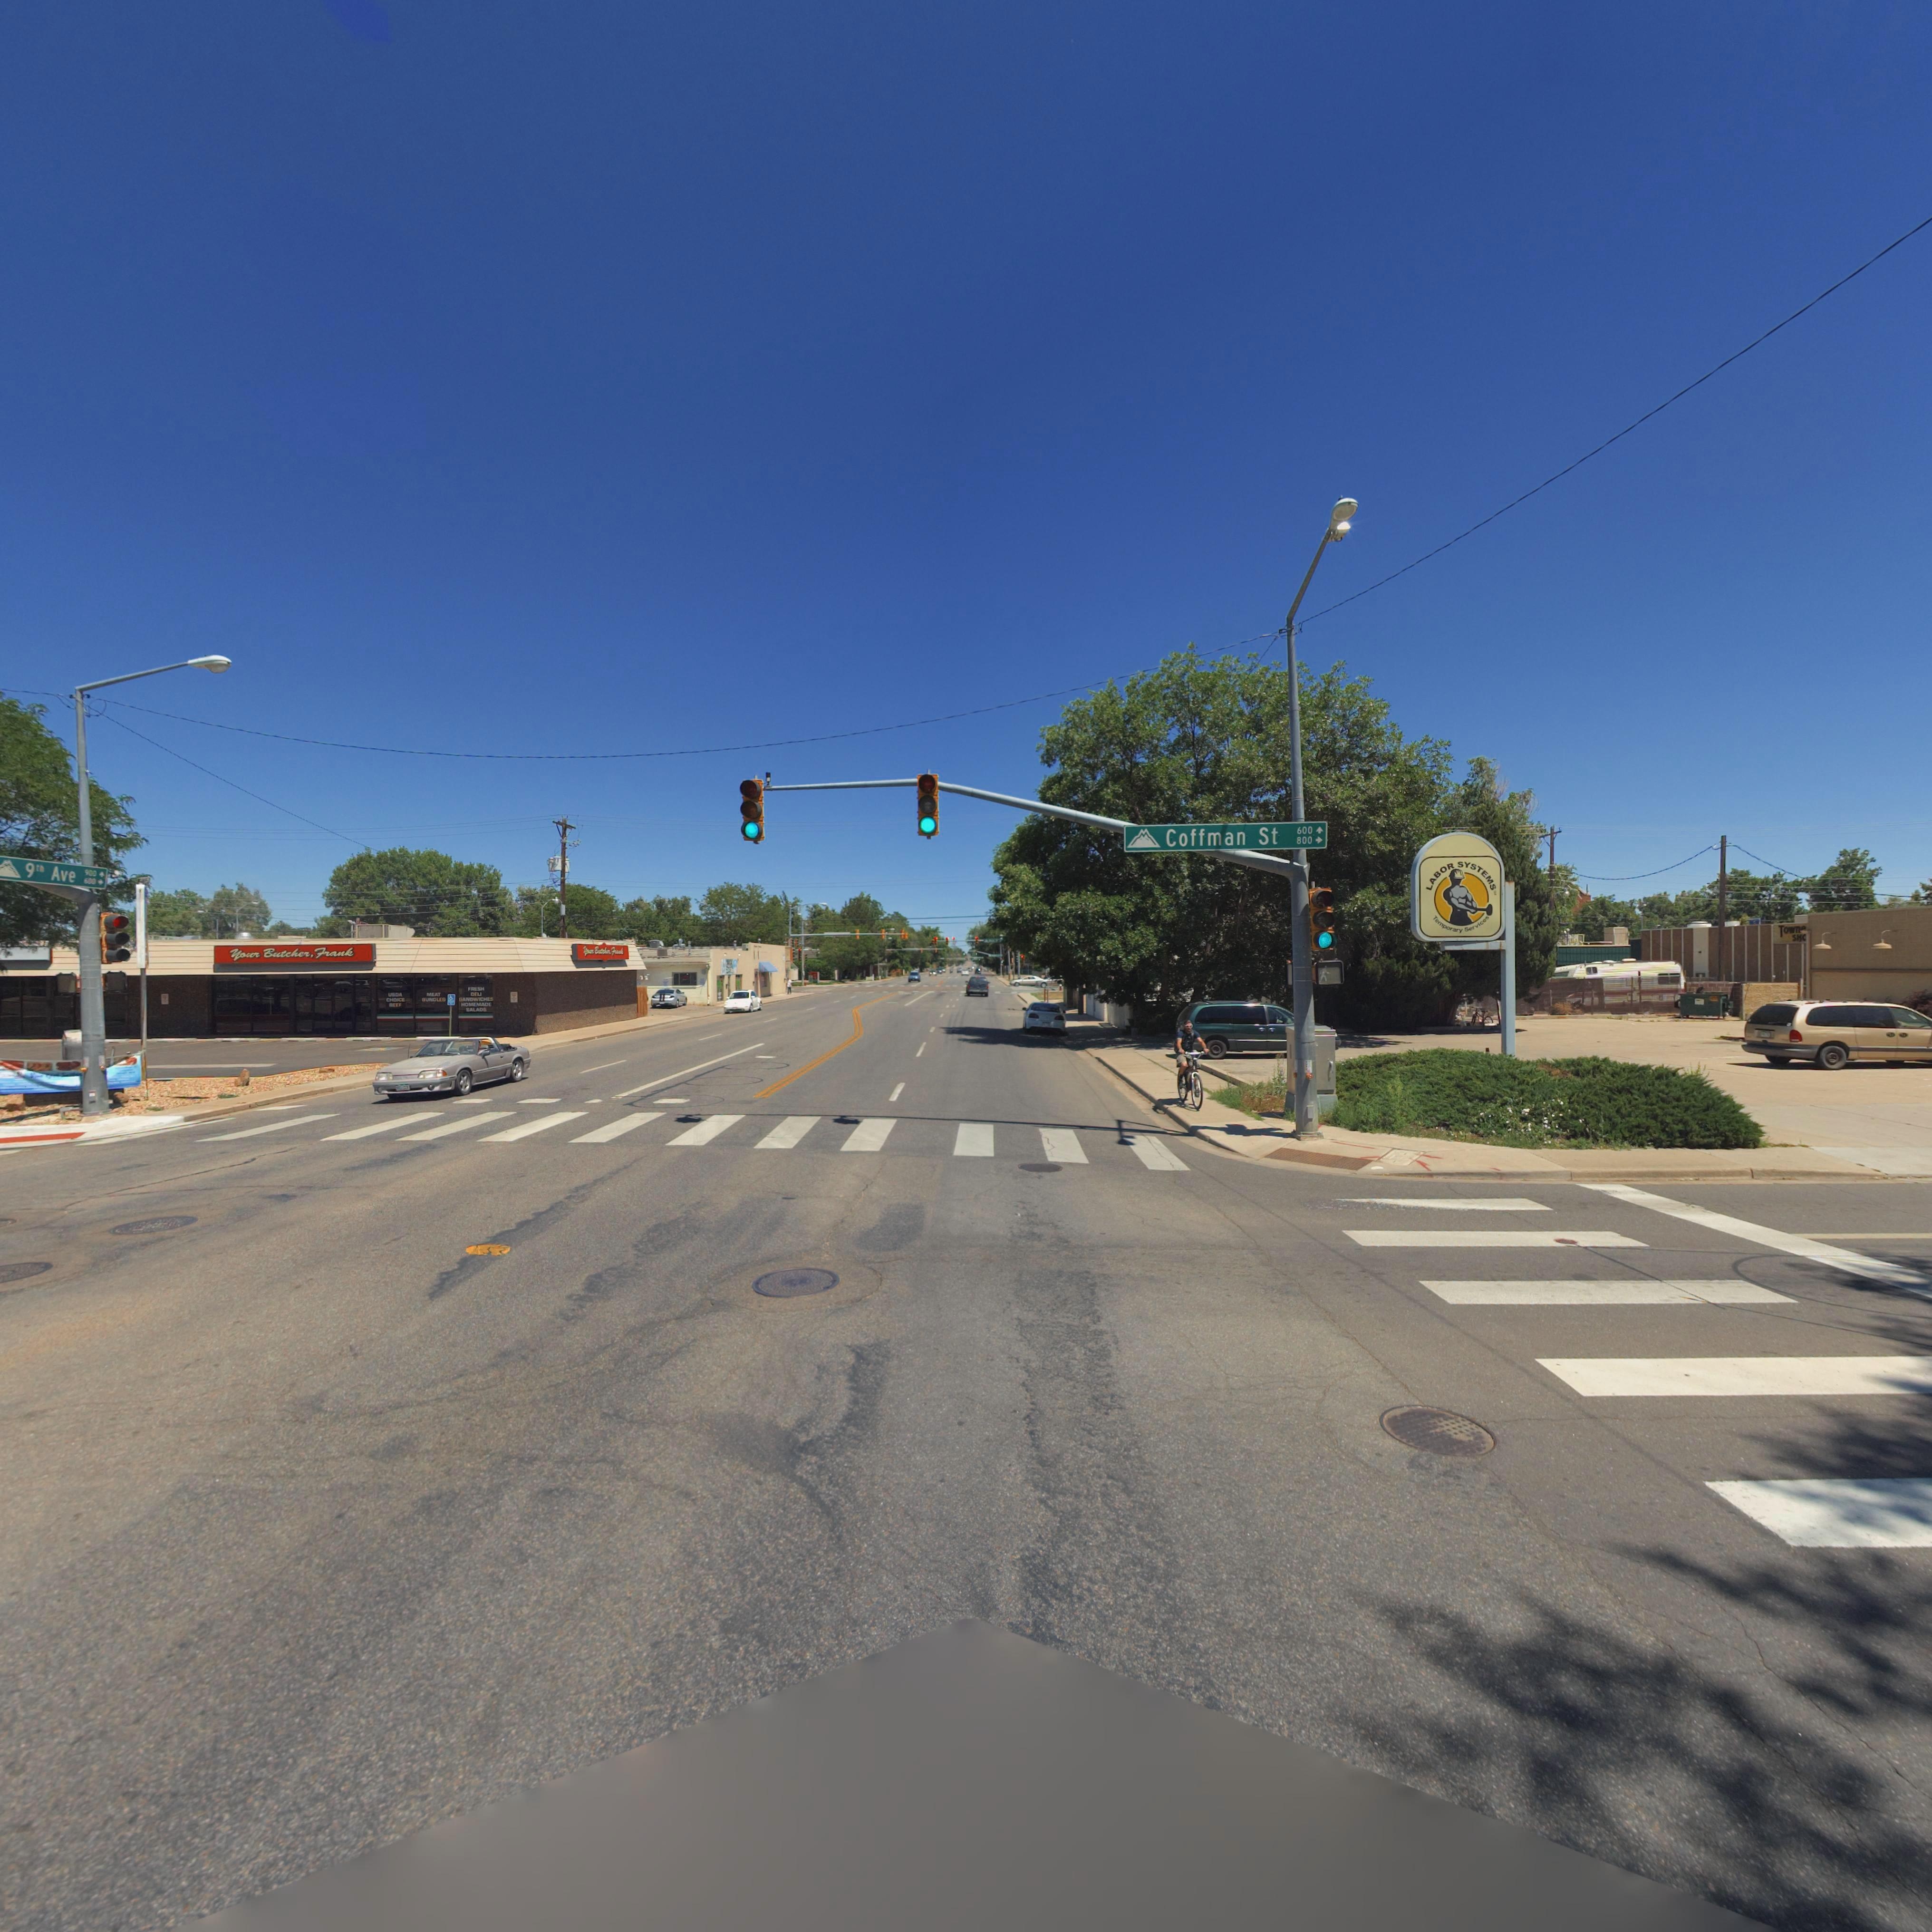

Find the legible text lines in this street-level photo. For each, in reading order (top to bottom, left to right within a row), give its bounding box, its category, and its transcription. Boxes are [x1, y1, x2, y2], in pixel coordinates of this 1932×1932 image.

[1165, 826, 1278, 847] StreetName: Coffman St
[1296, 825, 1313, 835] StreetNumberRange: 600
[1296, 836, 1323, 845] StreetNumberRange: 800->
[25, 862, 76, 883] StreetName: 9th Ave
[84, 869, 97, 877] StreetNumberRange: 900
[83, 877, 104, 885] StreetNumberRange: 600->
[1425, 860, 1497, 891] BusinessName: LABOR SYSTEM
[1432, 915, 1489, 934] BusinessName: Temporary Services
[228, 946, 355, 962] BusinessName: Your Butcher, Frank
[582, 945, 625, 957] BusinessName: Your Butcher, Frank